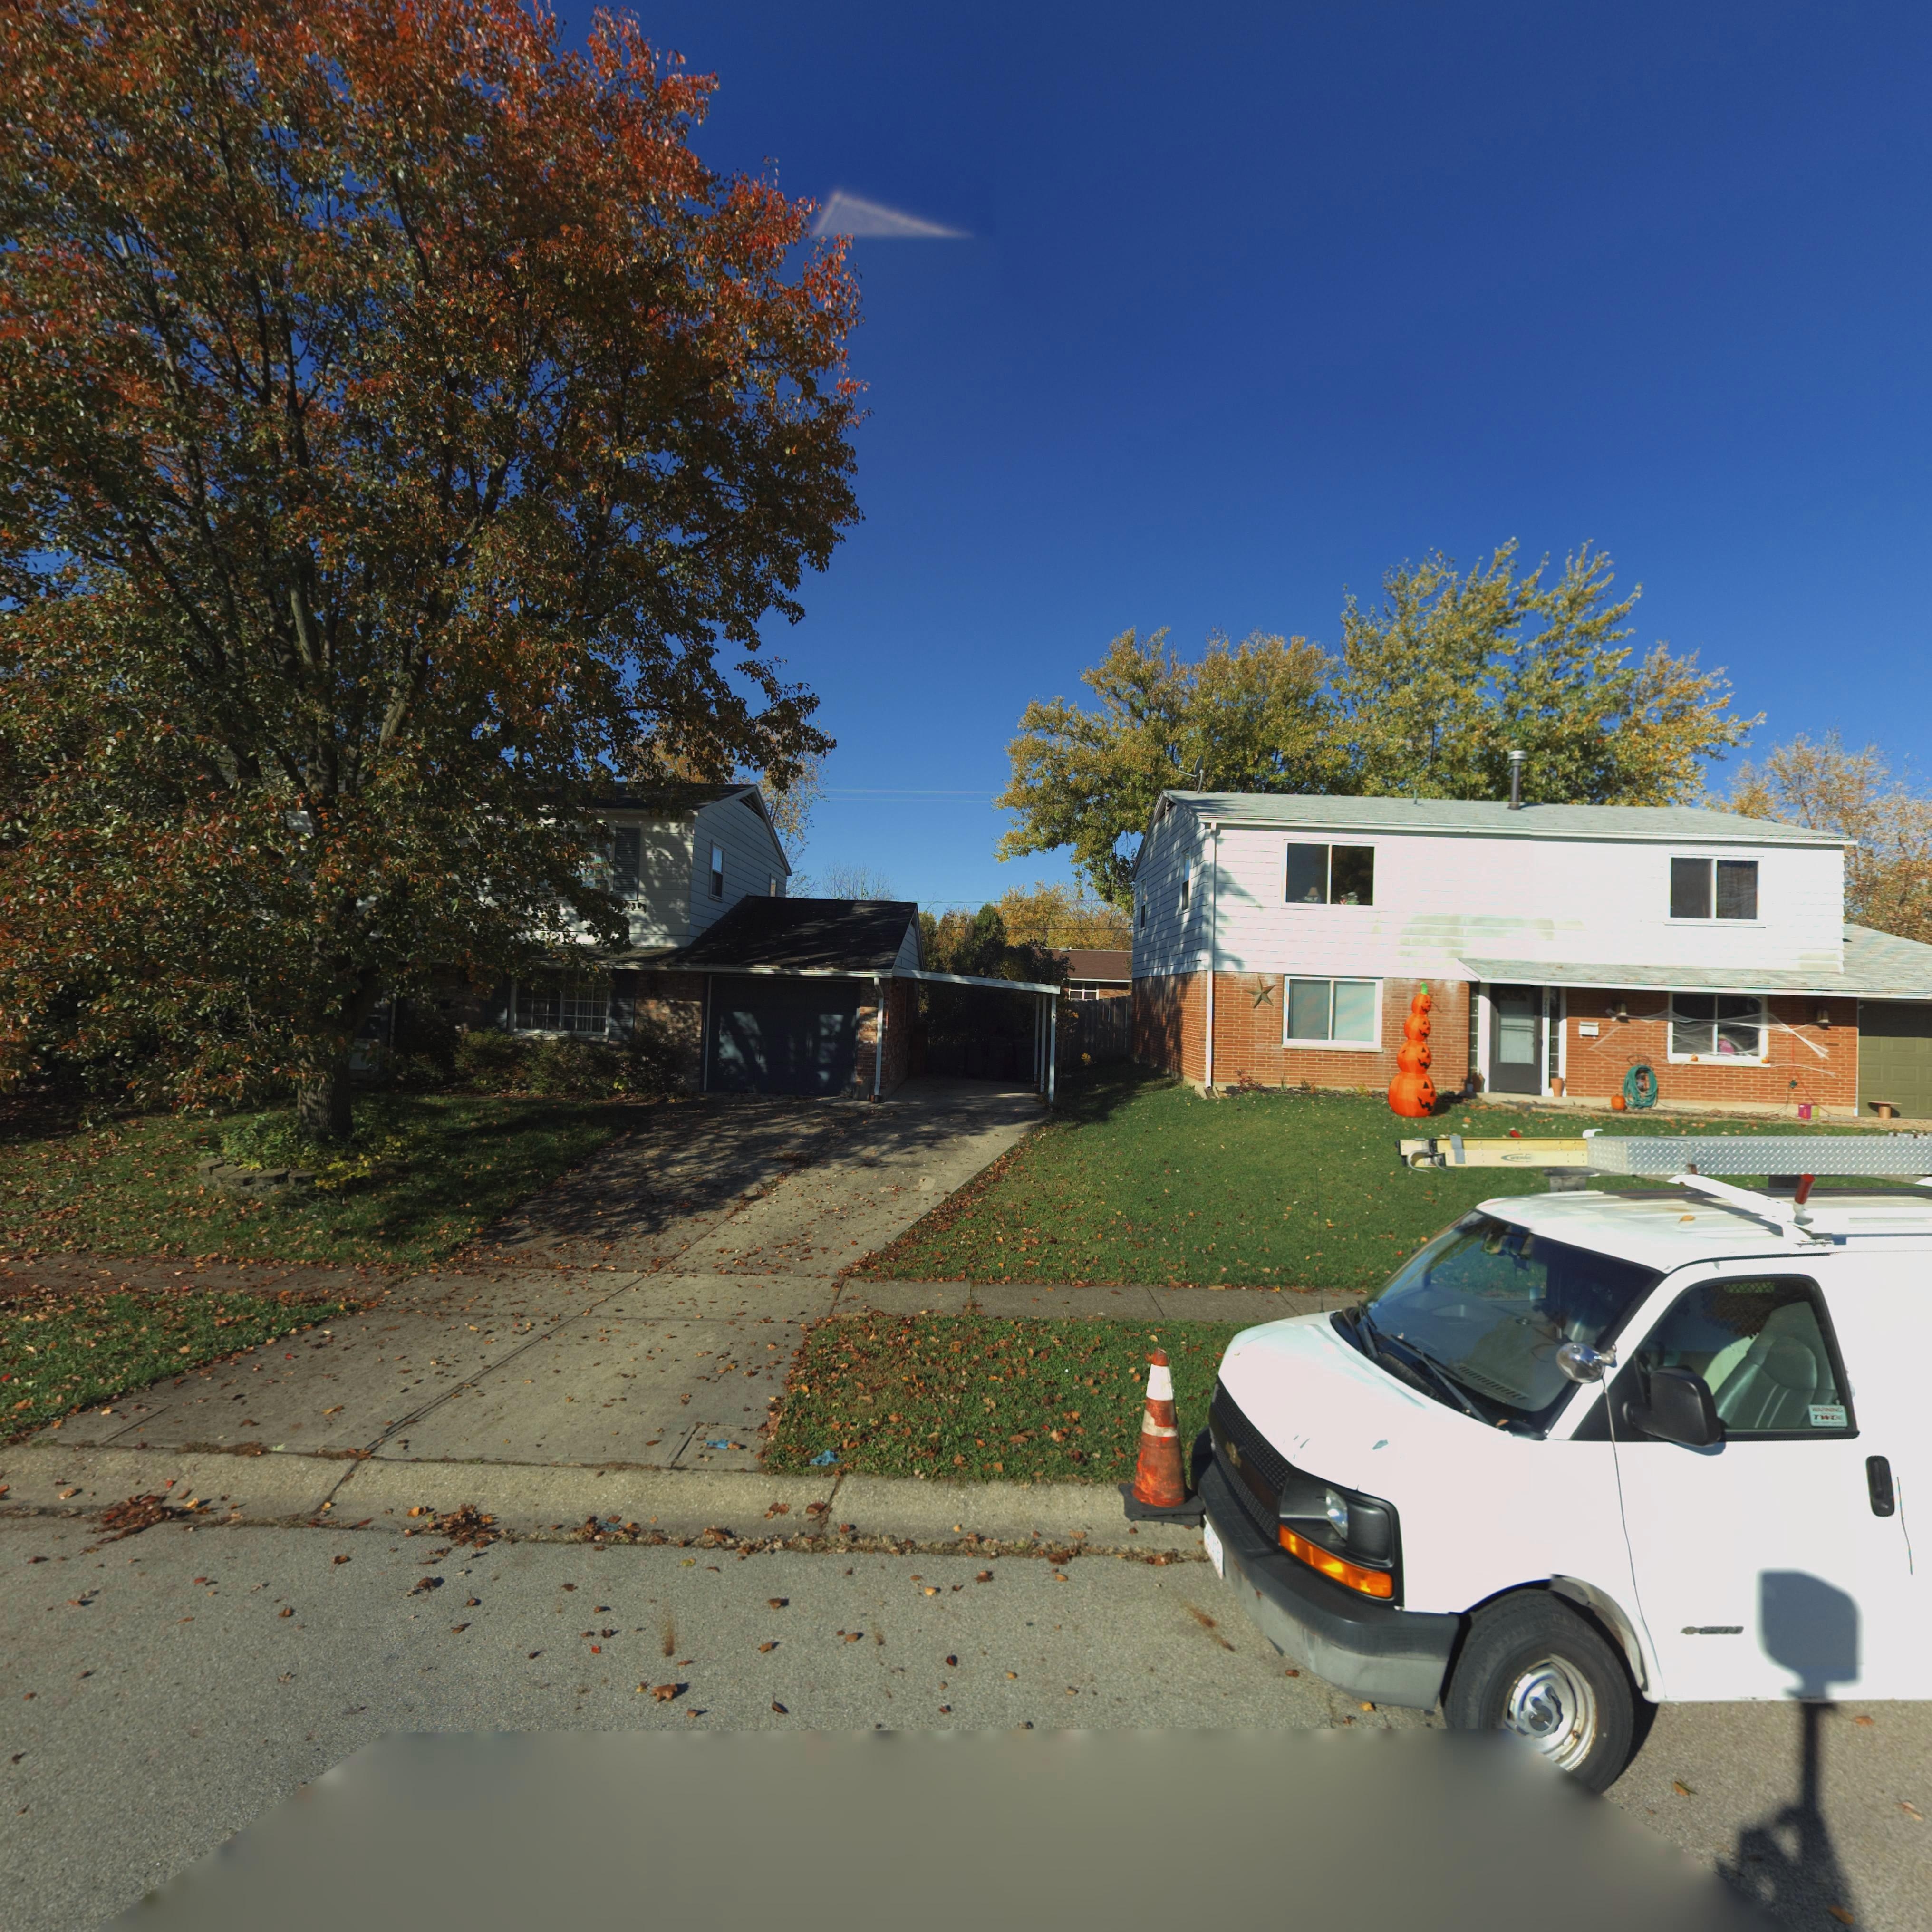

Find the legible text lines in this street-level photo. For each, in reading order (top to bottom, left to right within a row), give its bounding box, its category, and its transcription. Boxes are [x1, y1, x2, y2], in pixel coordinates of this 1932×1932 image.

[1543, 996, 1550, 1022] StreetNumber: 7***